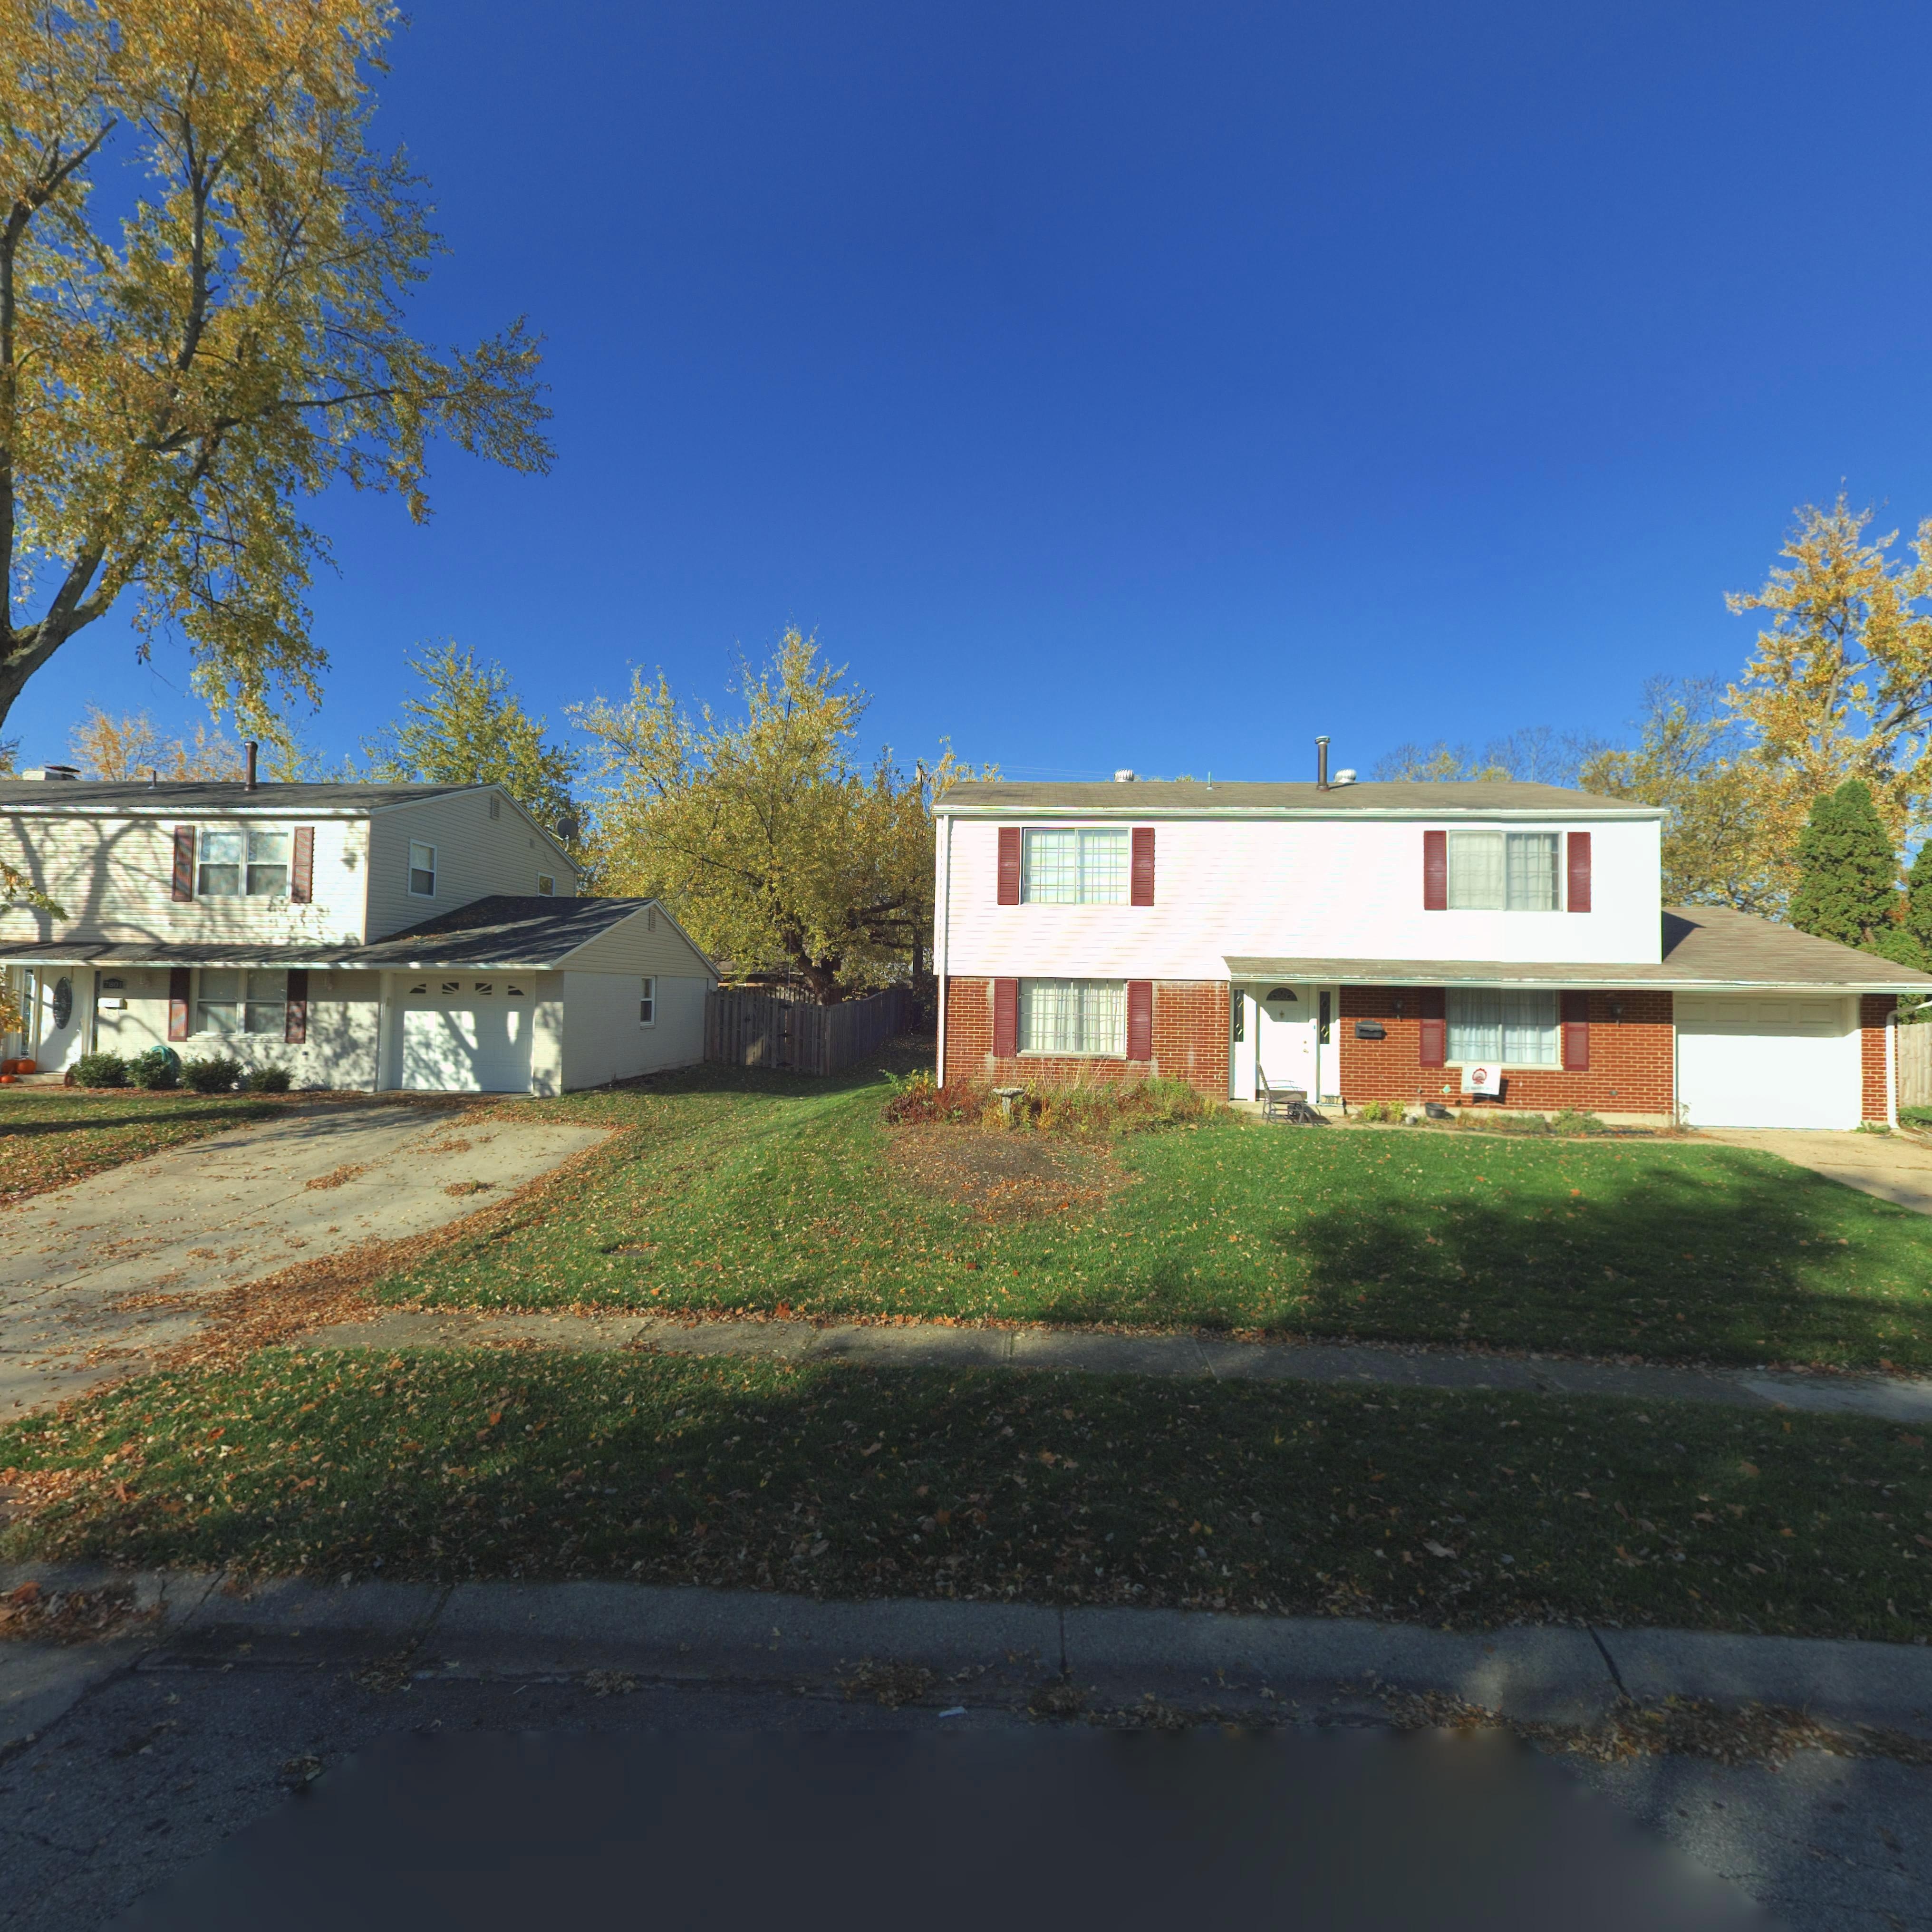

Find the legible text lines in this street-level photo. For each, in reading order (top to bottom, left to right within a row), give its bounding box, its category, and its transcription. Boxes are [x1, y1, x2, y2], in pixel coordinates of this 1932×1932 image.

[103, 981, 123, 988] StreetNumber: 7601
[1324, 1096, 1339, 1104] StreetNumber: 7807